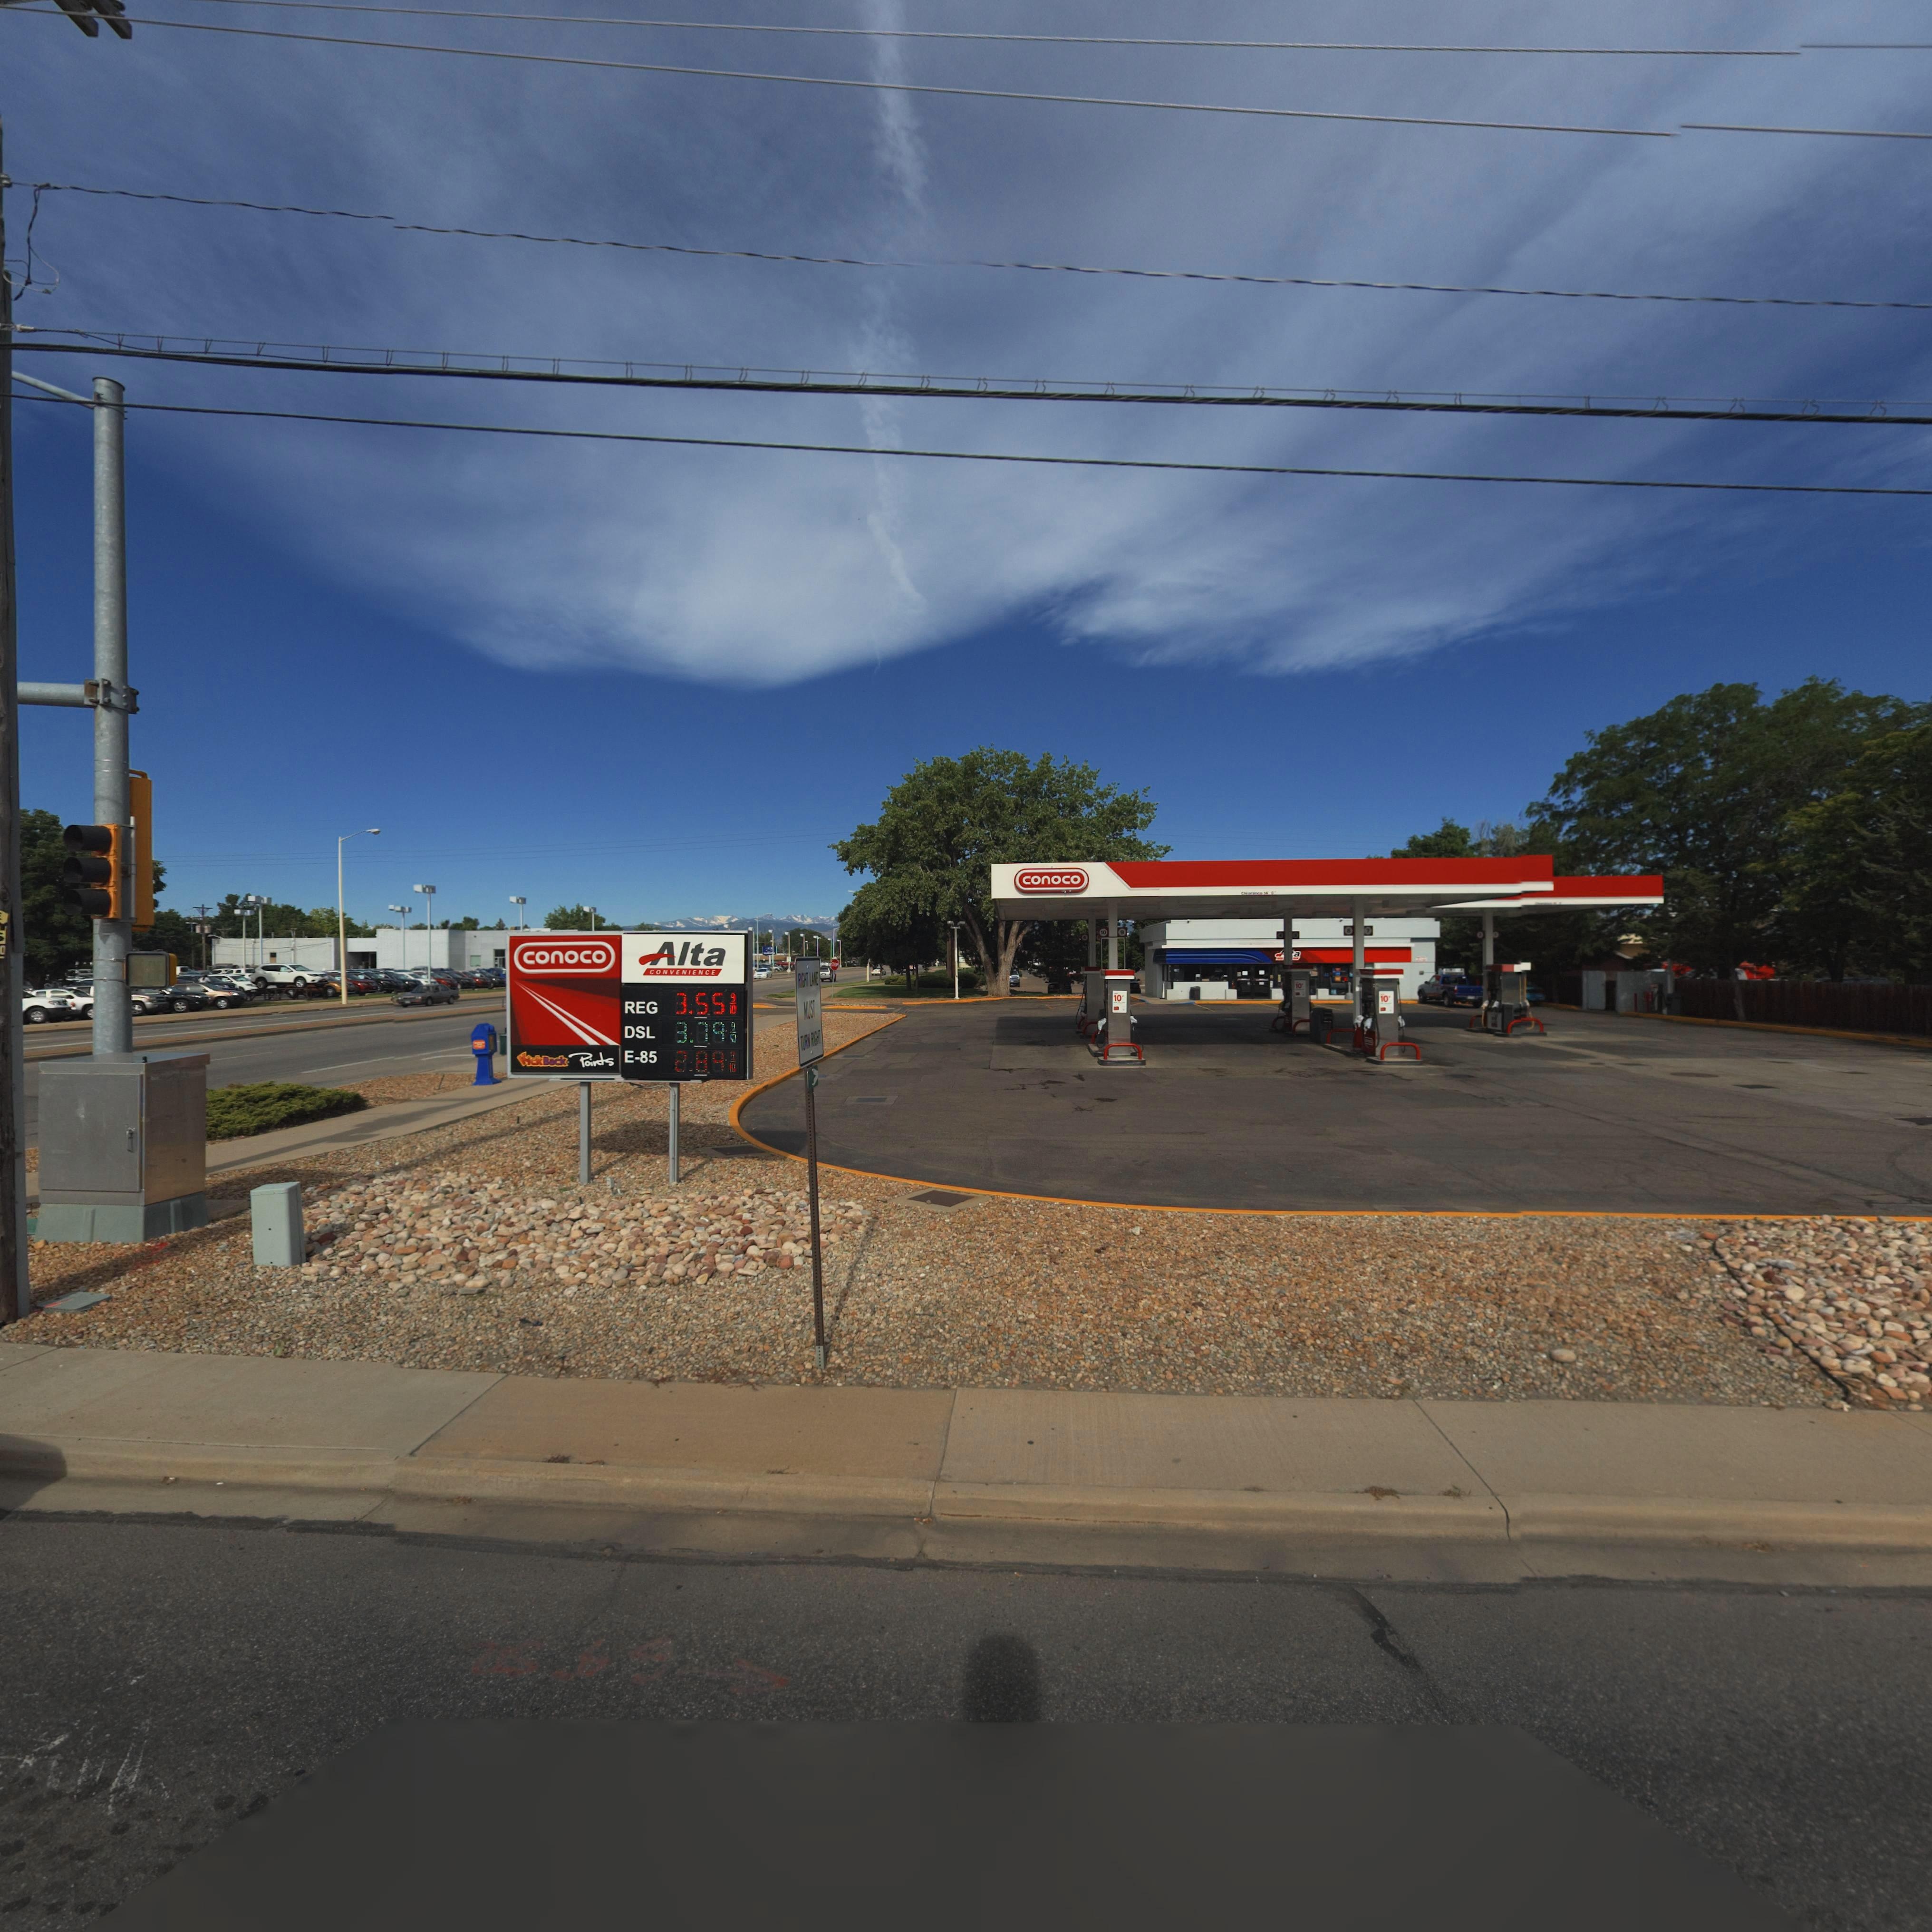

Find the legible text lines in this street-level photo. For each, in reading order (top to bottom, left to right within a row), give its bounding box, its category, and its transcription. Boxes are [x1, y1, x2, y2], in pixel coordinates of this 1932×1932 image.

[1022, 875, 1081, 885] BusinessName: conoco
[522, 949, 607, 965] BusinessName: conoco
[648, 941, 726, 966] BusinessName: Alta
[1278, 948, 1300, 956] BusinessName: ***a
[649, 969, 716, 975] BusinessName: CONVENIENCE